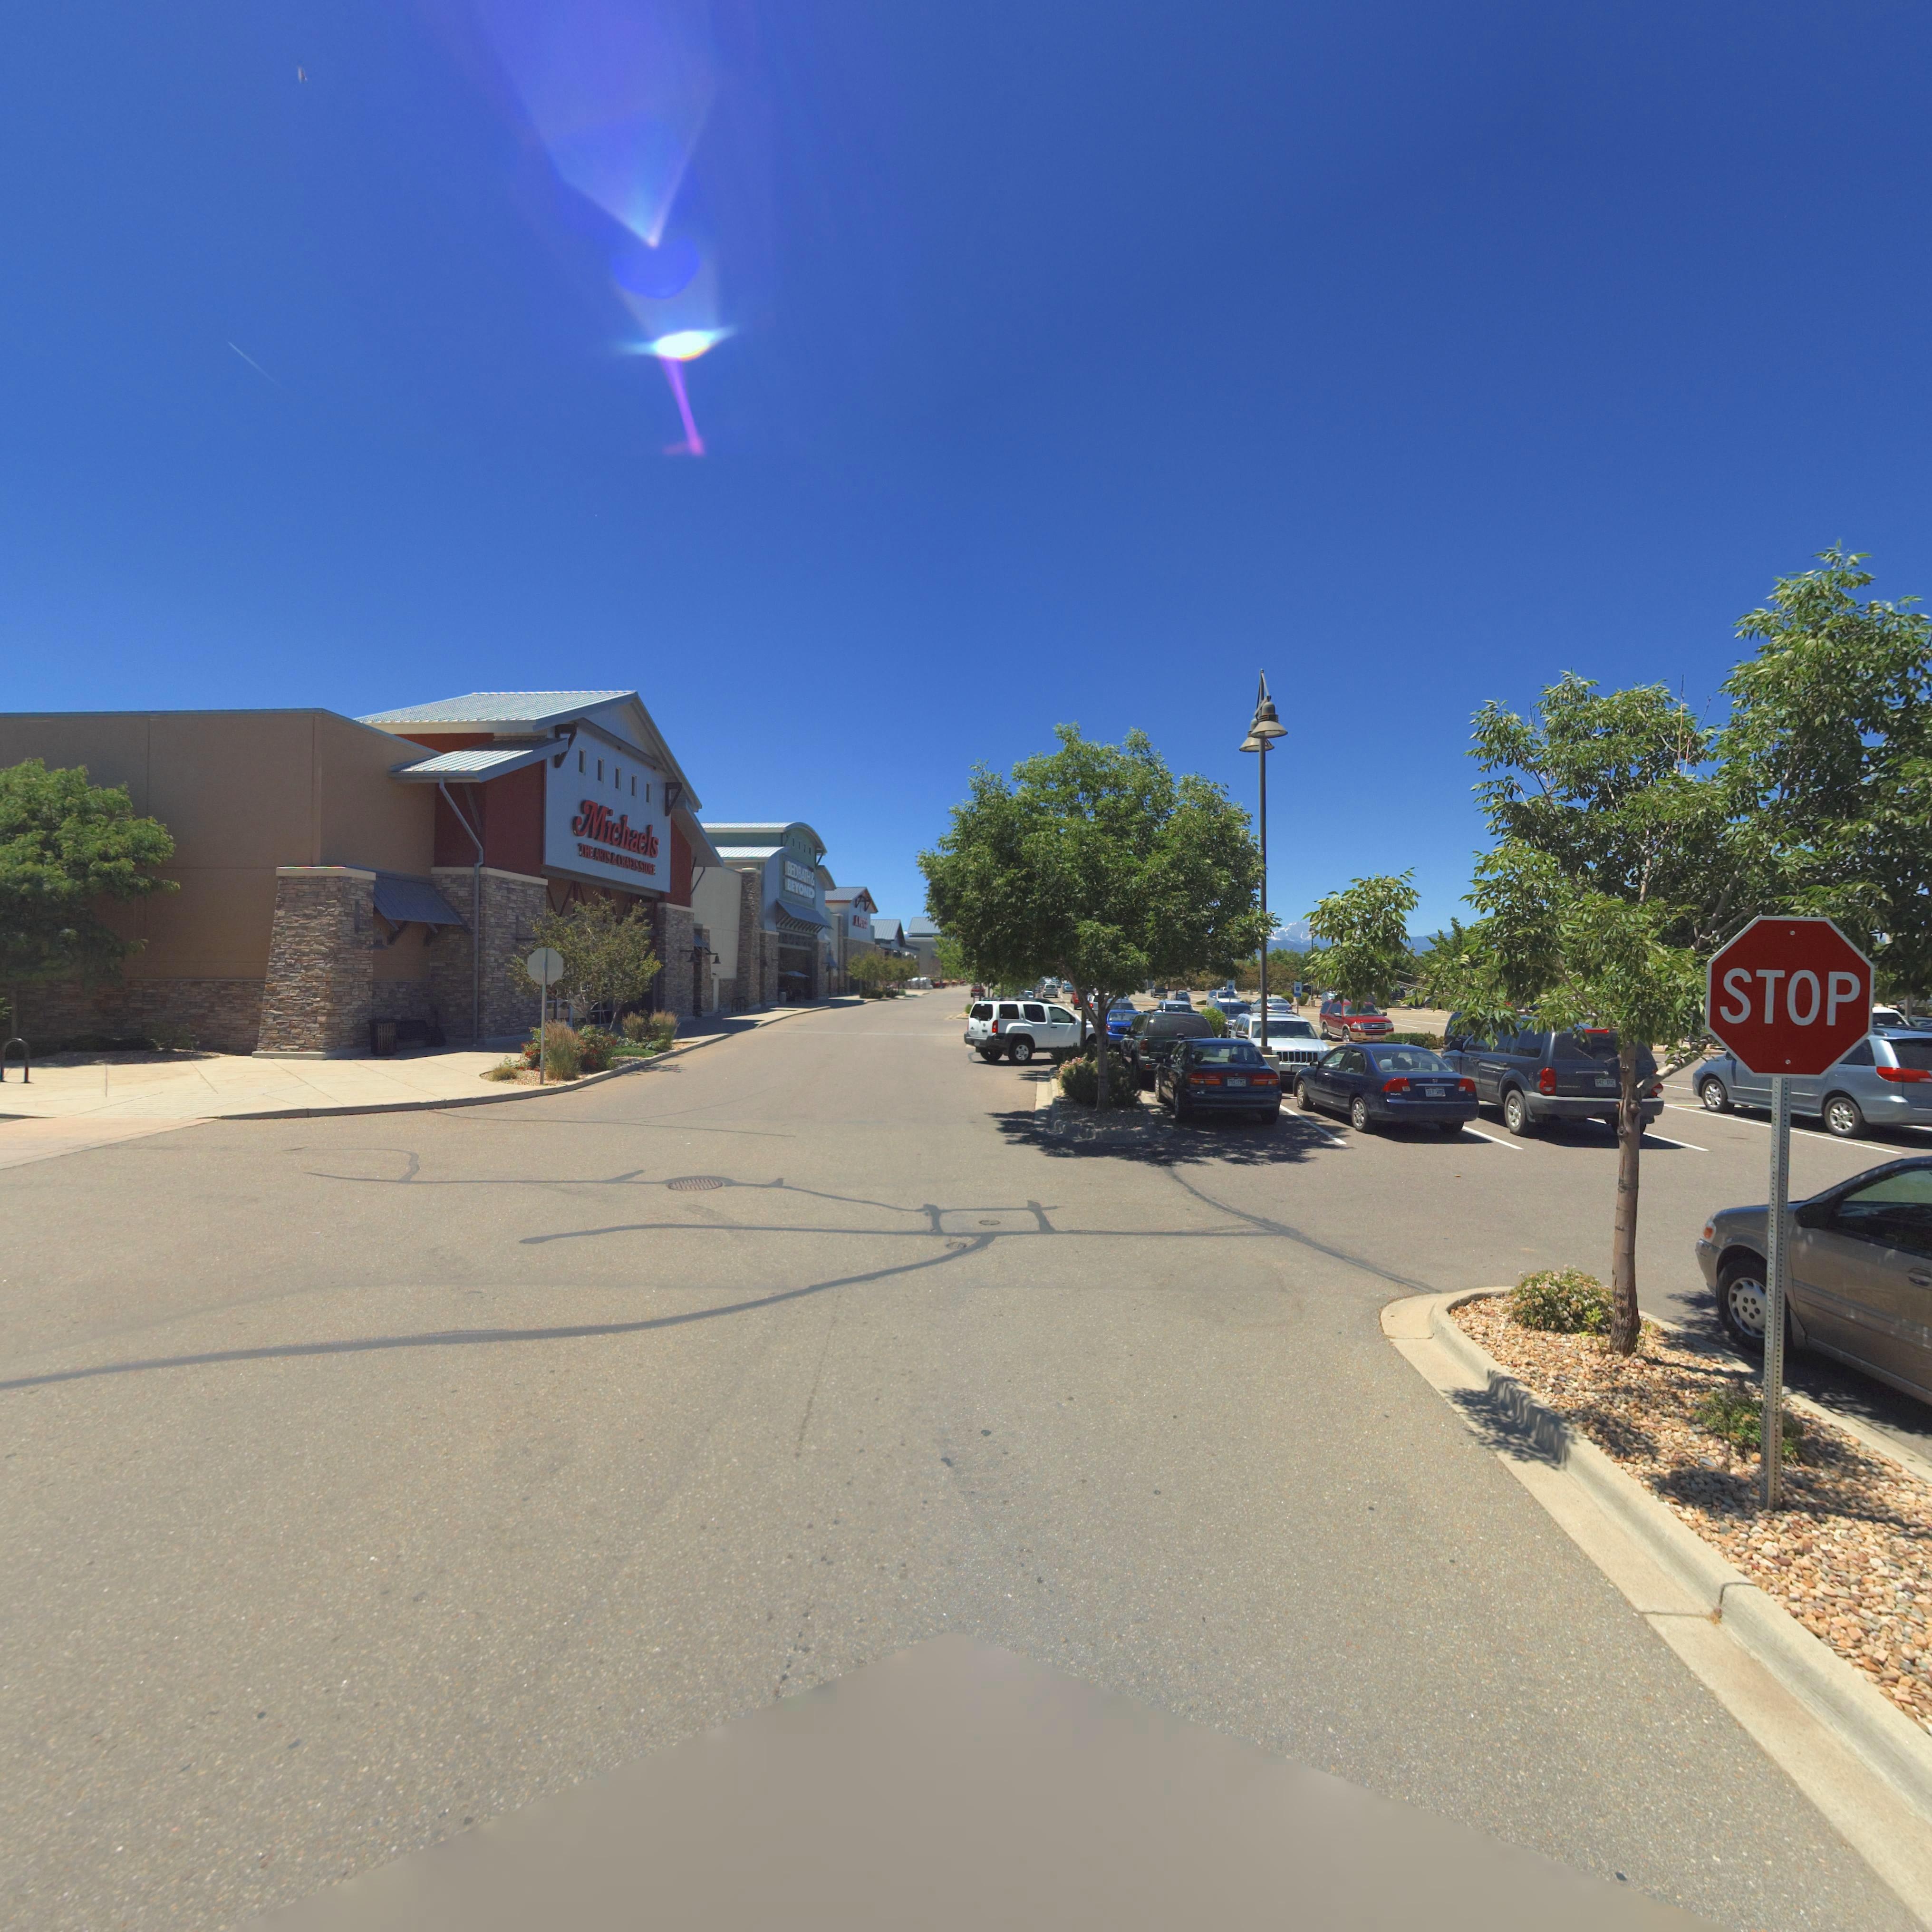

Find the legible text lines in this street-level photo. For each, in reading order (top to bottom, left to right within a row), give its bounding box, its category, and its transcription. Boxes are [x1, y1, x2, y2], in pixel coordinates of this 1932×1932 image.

[573, 798, 659, 859] BusinessName: Michaels
[784, 860, 815, 887] BusinessName: BEDBATH&
[785, 878, 815, 899] BusinessName: BEYOND
[858, 916, 868, 929] BusinessName: PETCO